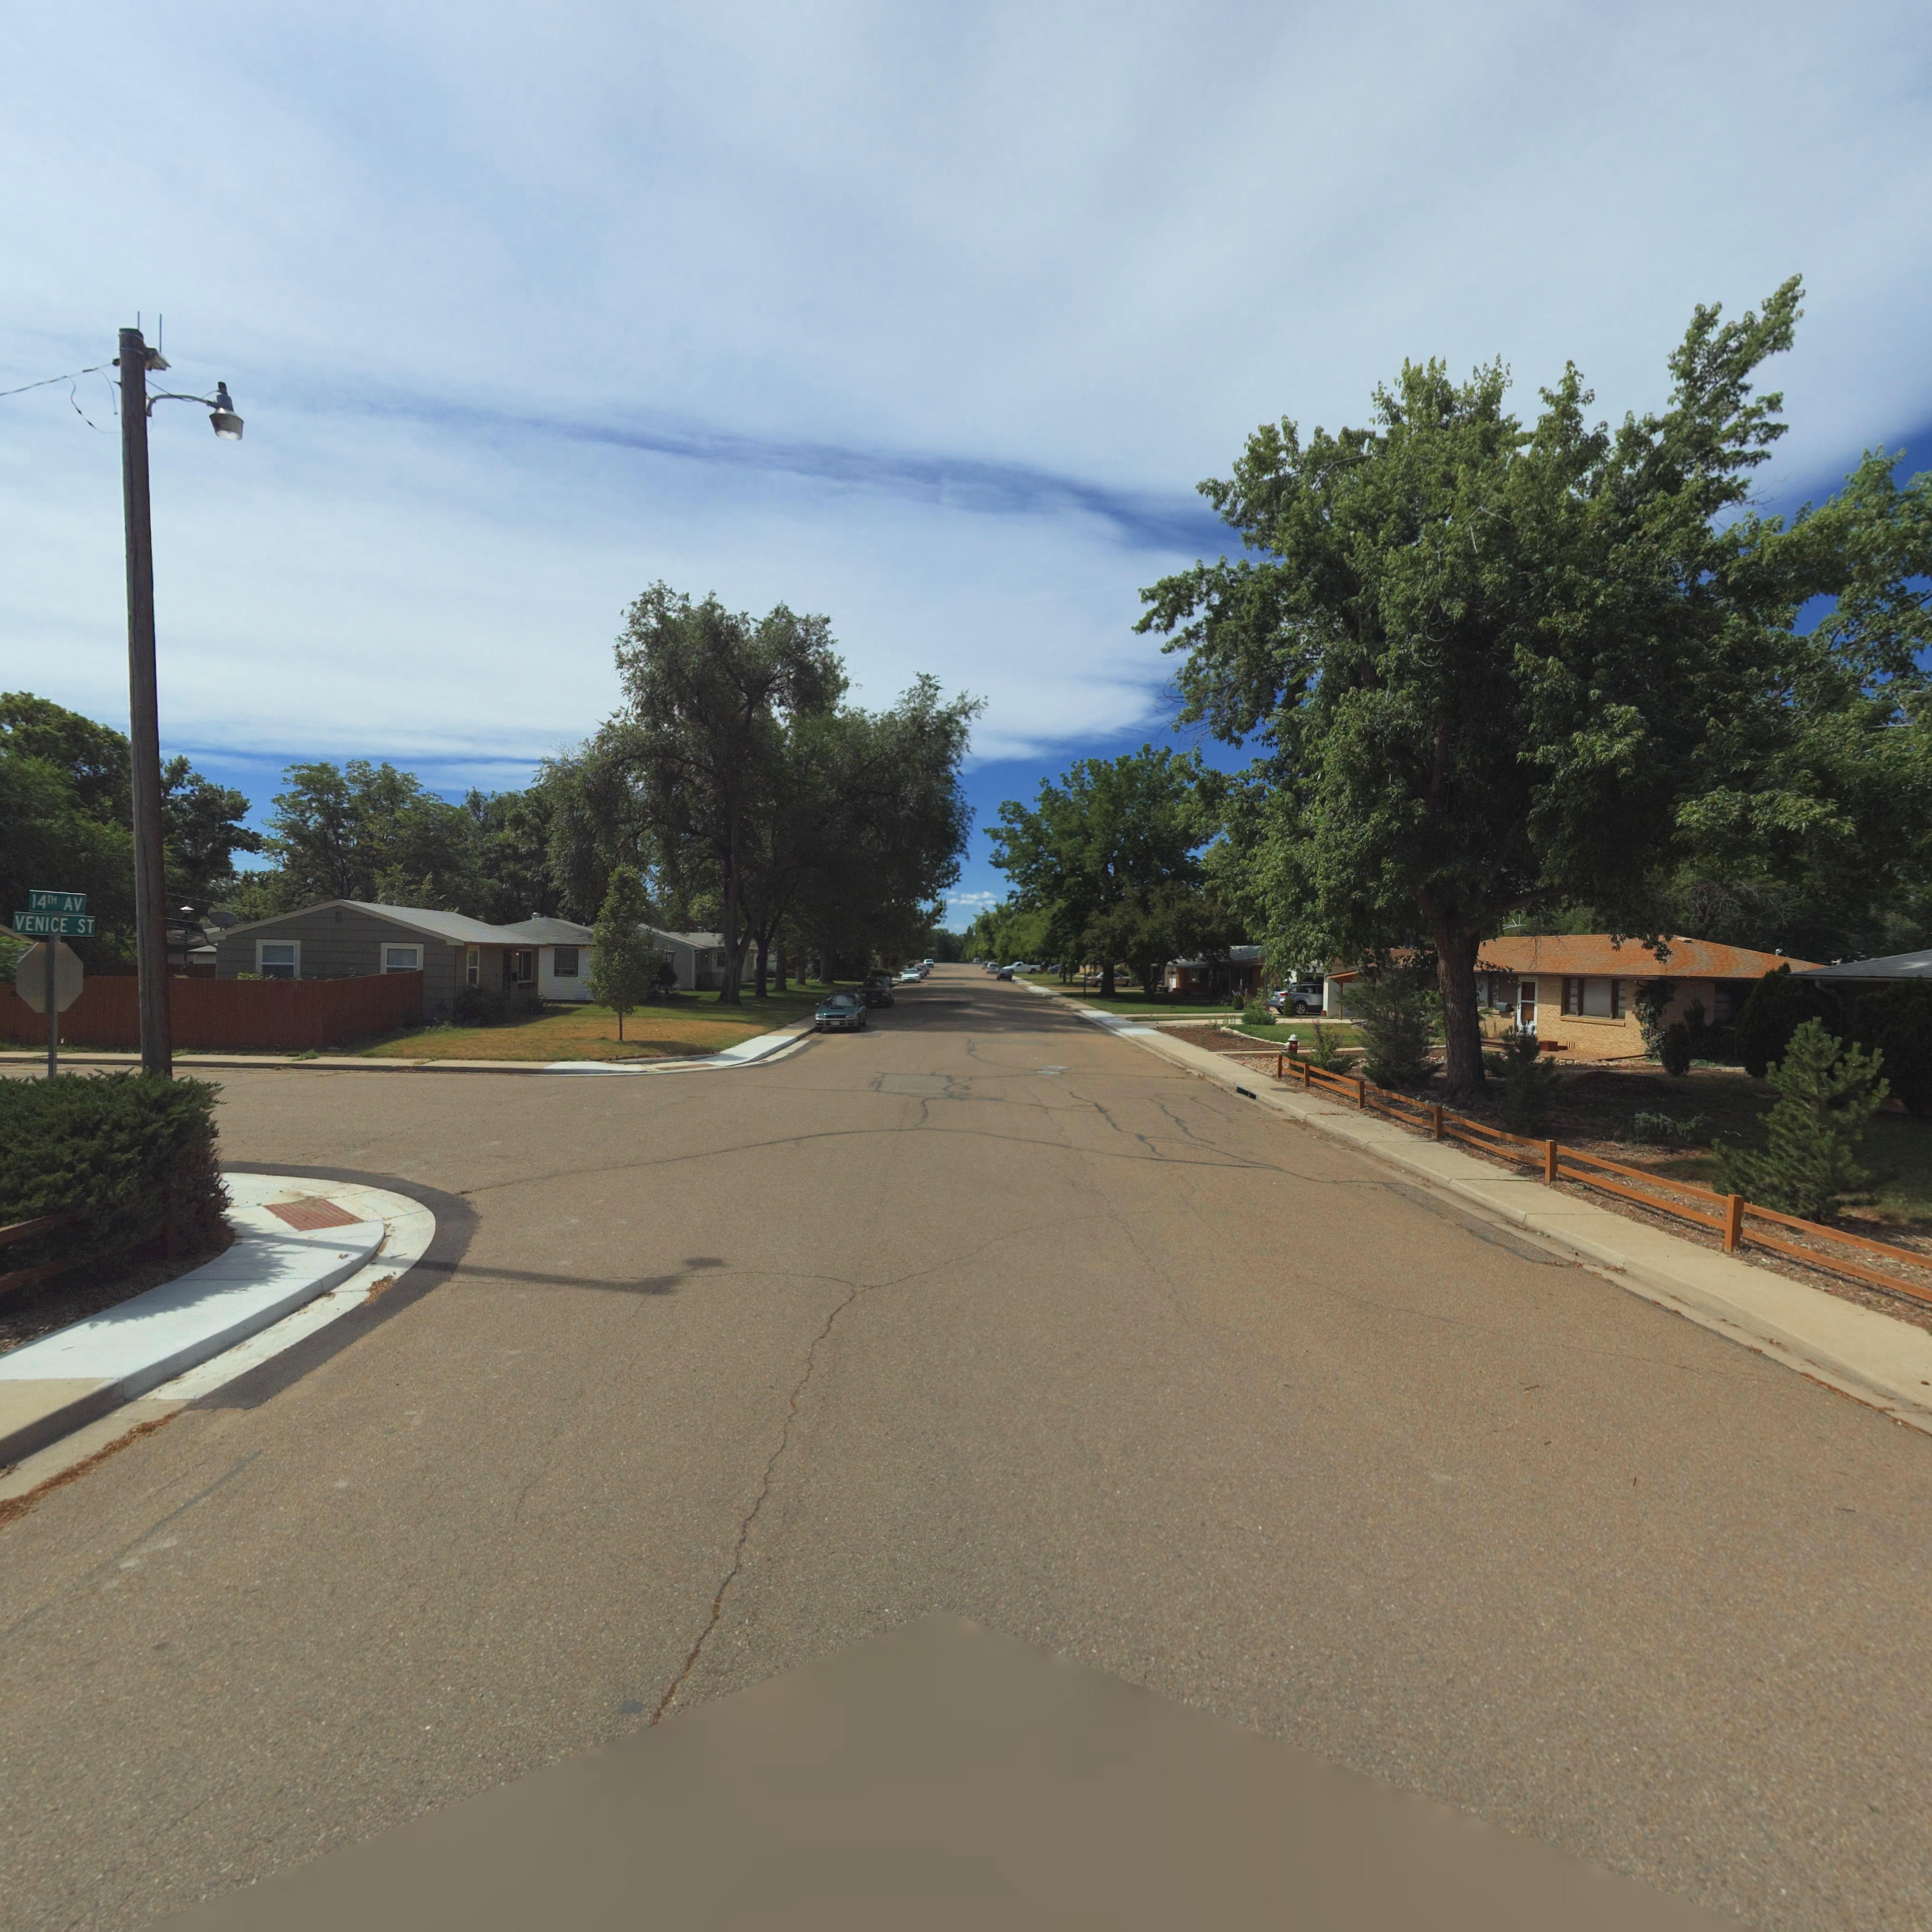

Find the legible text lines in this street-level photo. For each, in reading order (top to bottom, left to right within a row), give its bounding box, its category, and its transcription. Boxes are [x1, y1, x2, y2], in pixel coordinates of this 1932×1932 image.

[31, 893, 84, 913] StreetName: 14TH AV
[14, 914, 95, 934] StreetName: VENICE ST